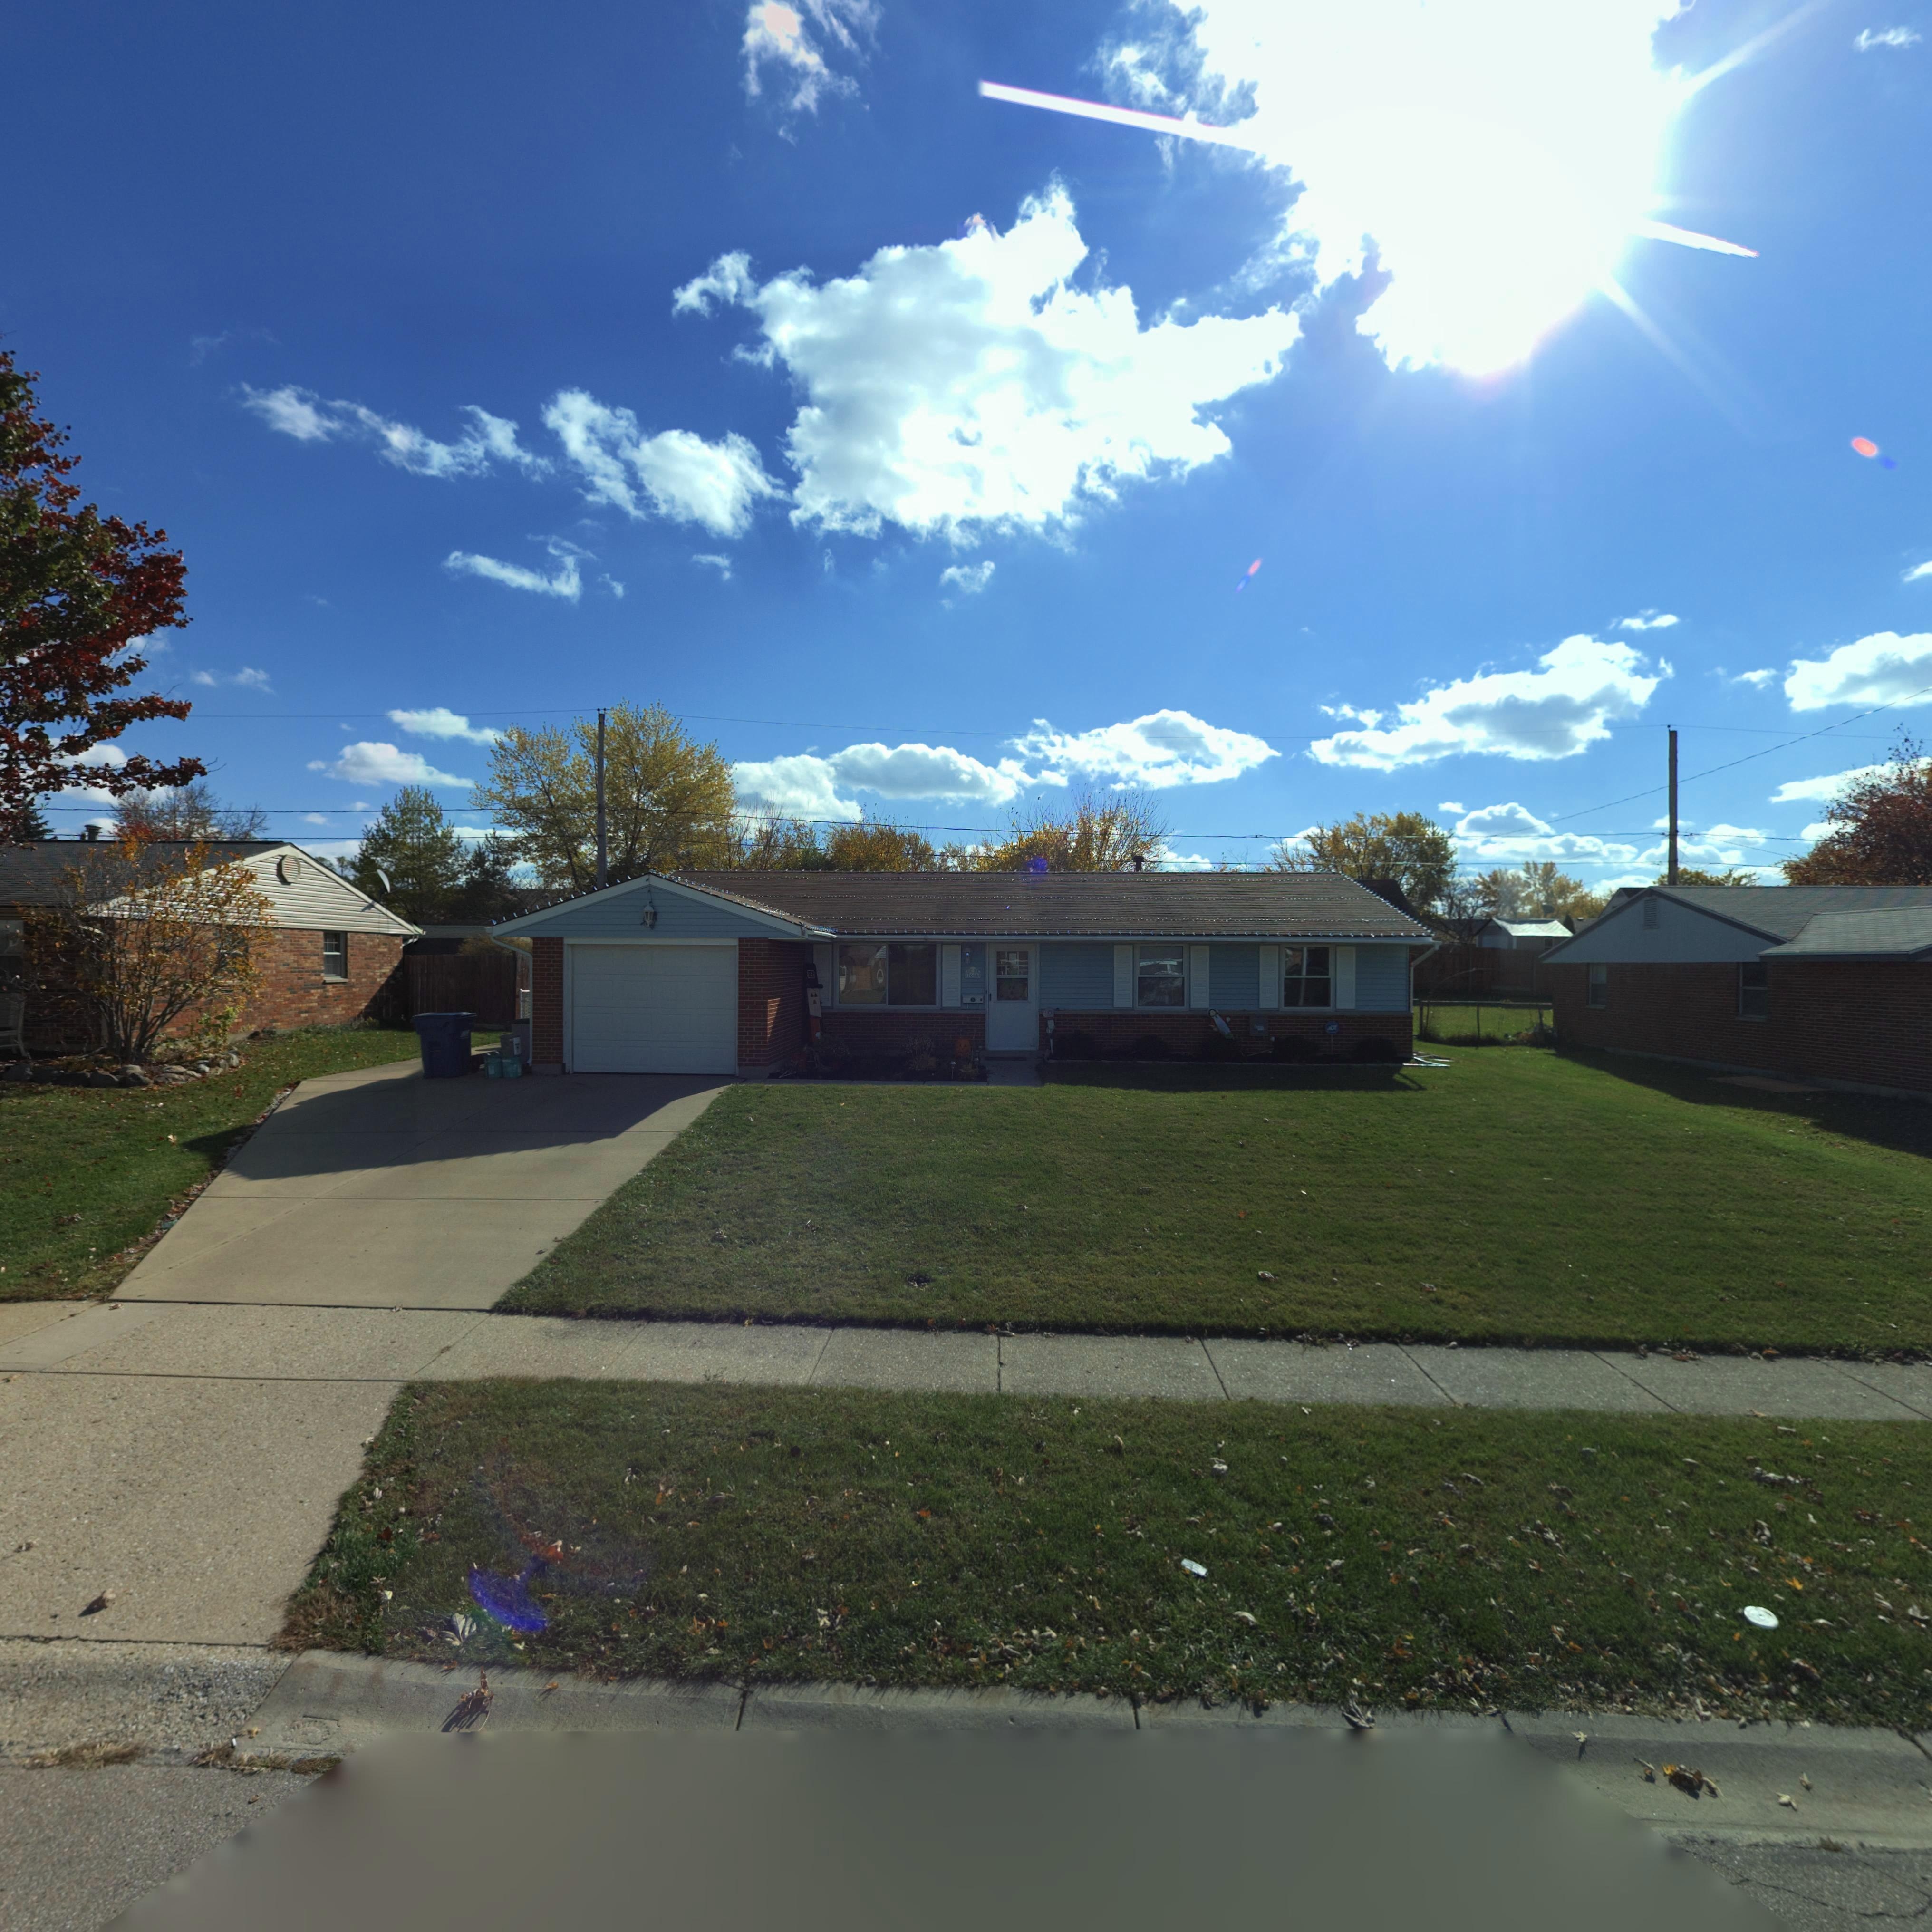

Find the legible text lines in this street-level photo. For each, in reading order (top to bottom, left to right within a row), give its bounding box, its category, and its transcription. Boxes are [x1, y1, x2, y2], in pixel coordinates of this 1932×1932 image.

[966, 972, 979, 978] StreetNumber: 766*